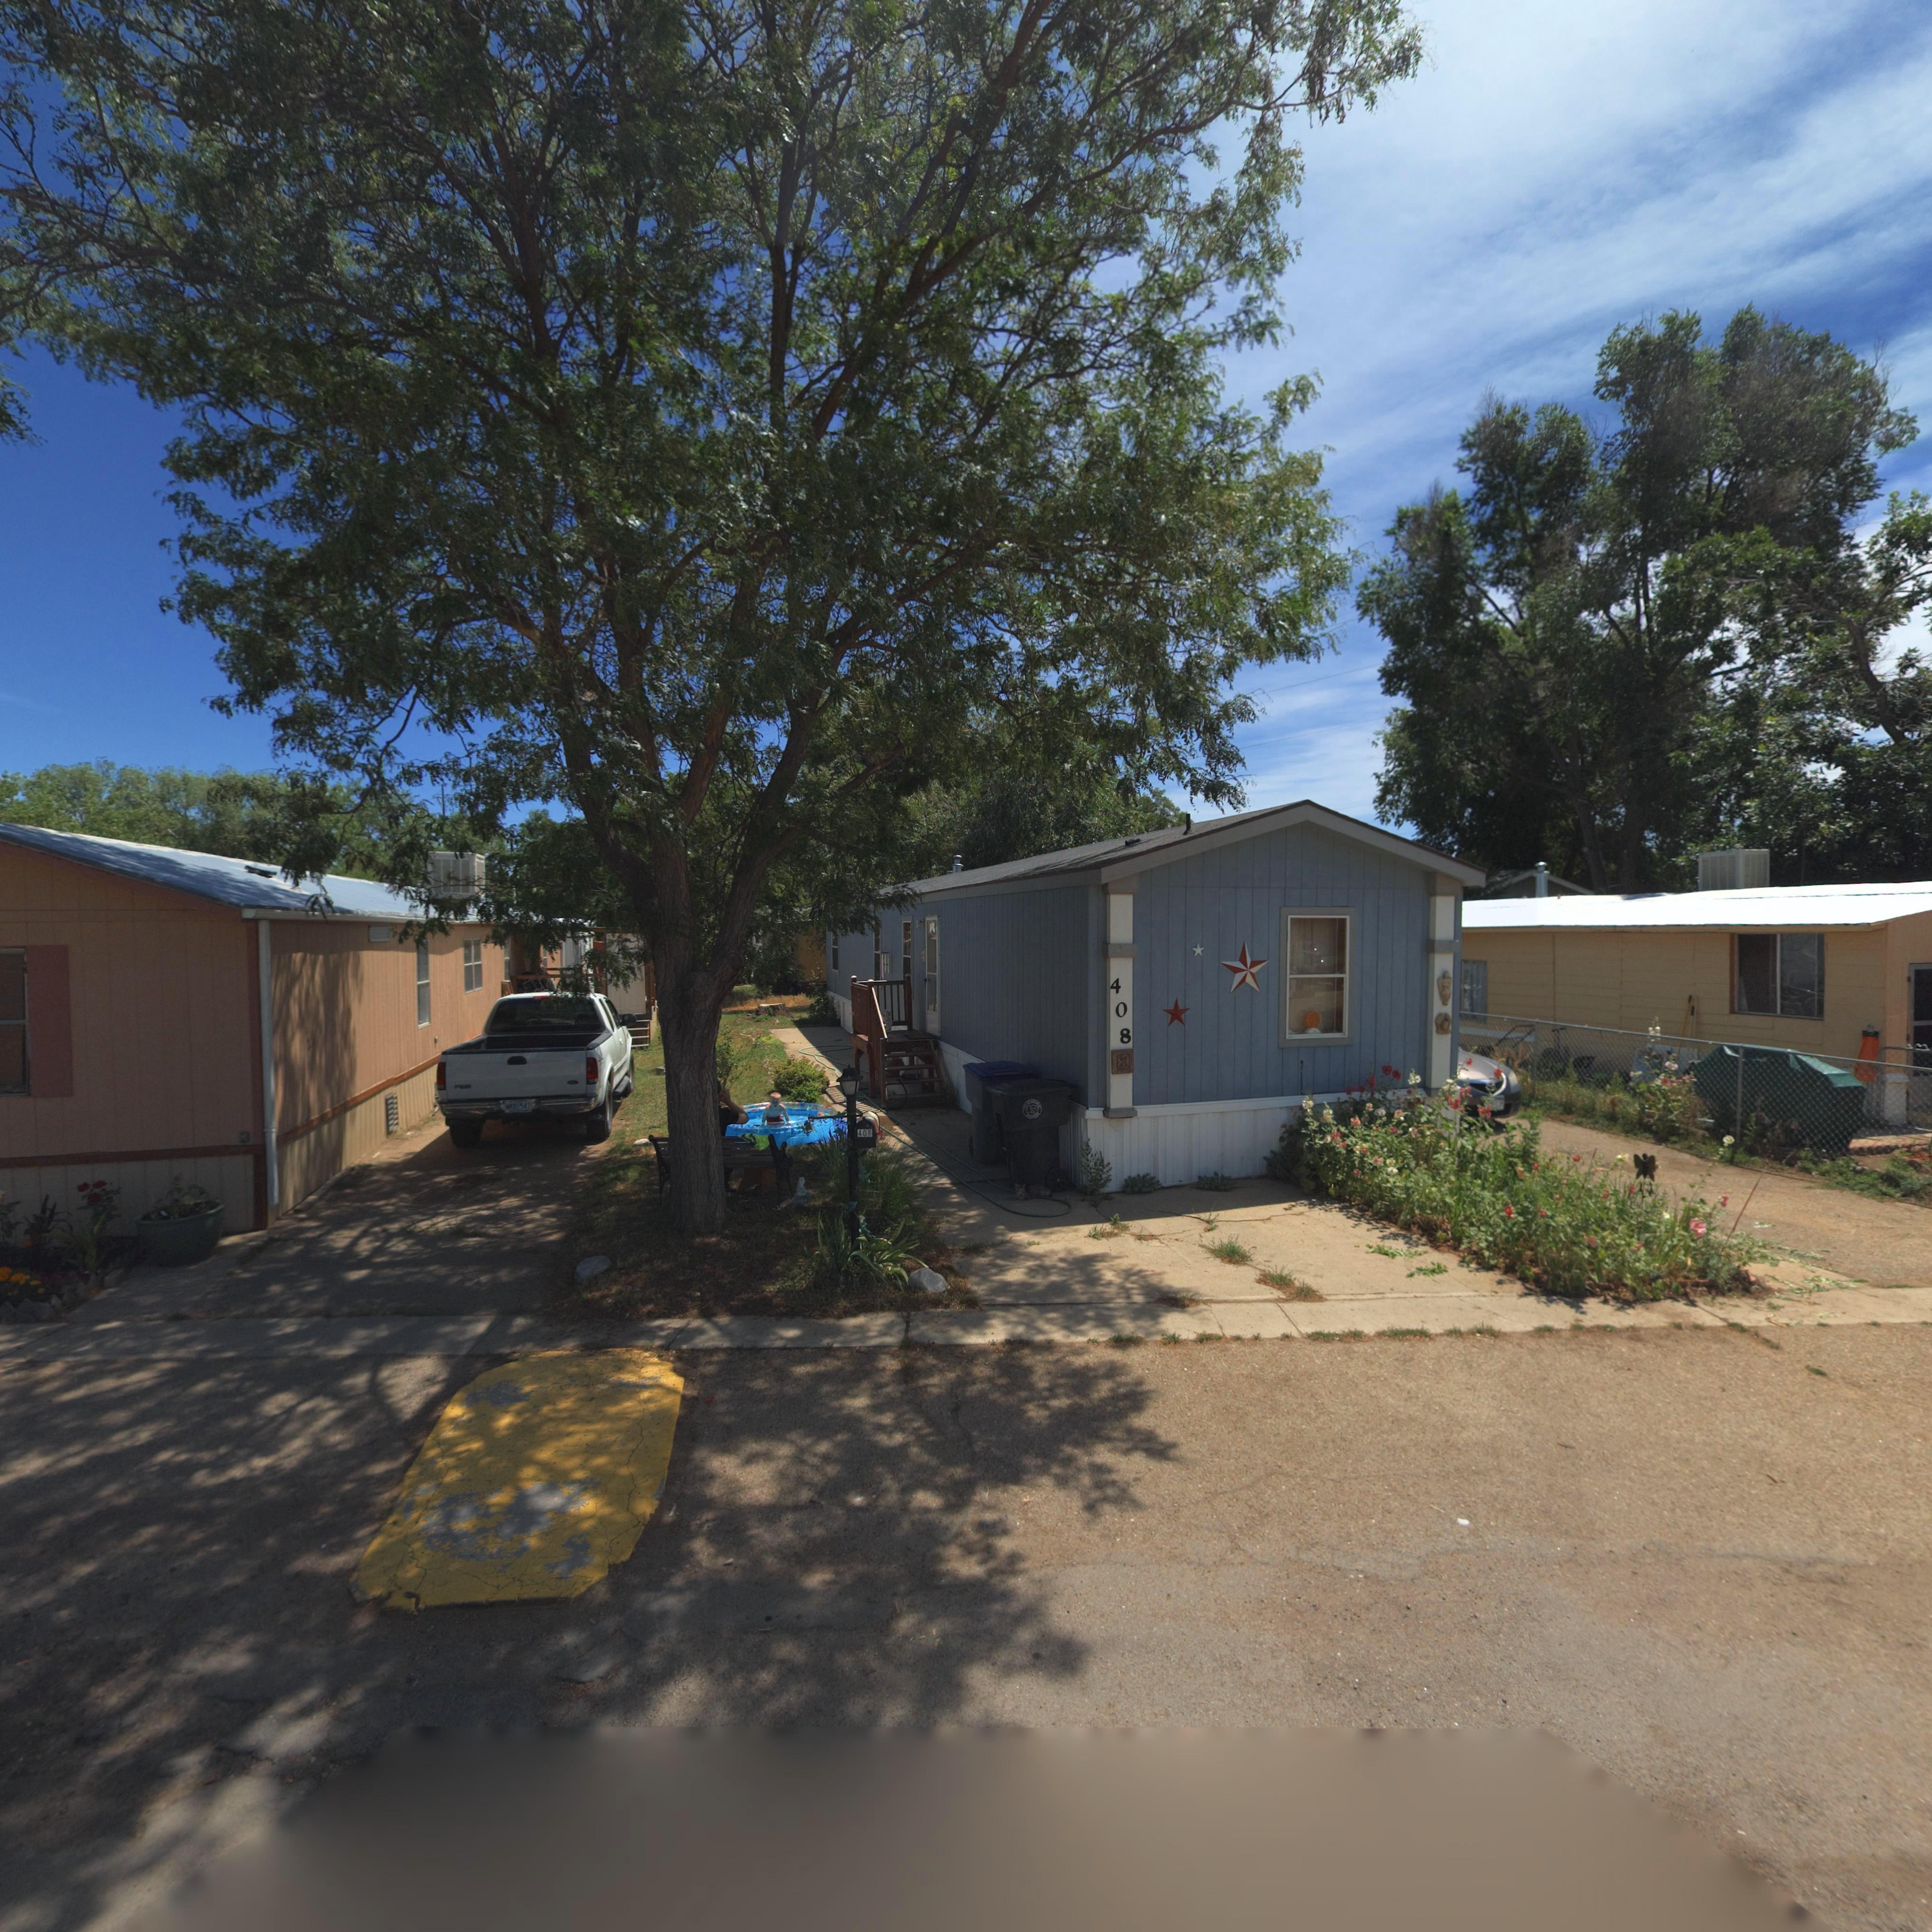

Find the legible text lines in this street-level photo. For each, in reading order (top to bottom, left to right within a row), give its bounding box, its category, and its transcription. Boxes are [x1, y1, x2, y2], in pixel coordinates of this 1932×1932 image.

[1110, 976, 1131, 1044] StreetNumber: 408